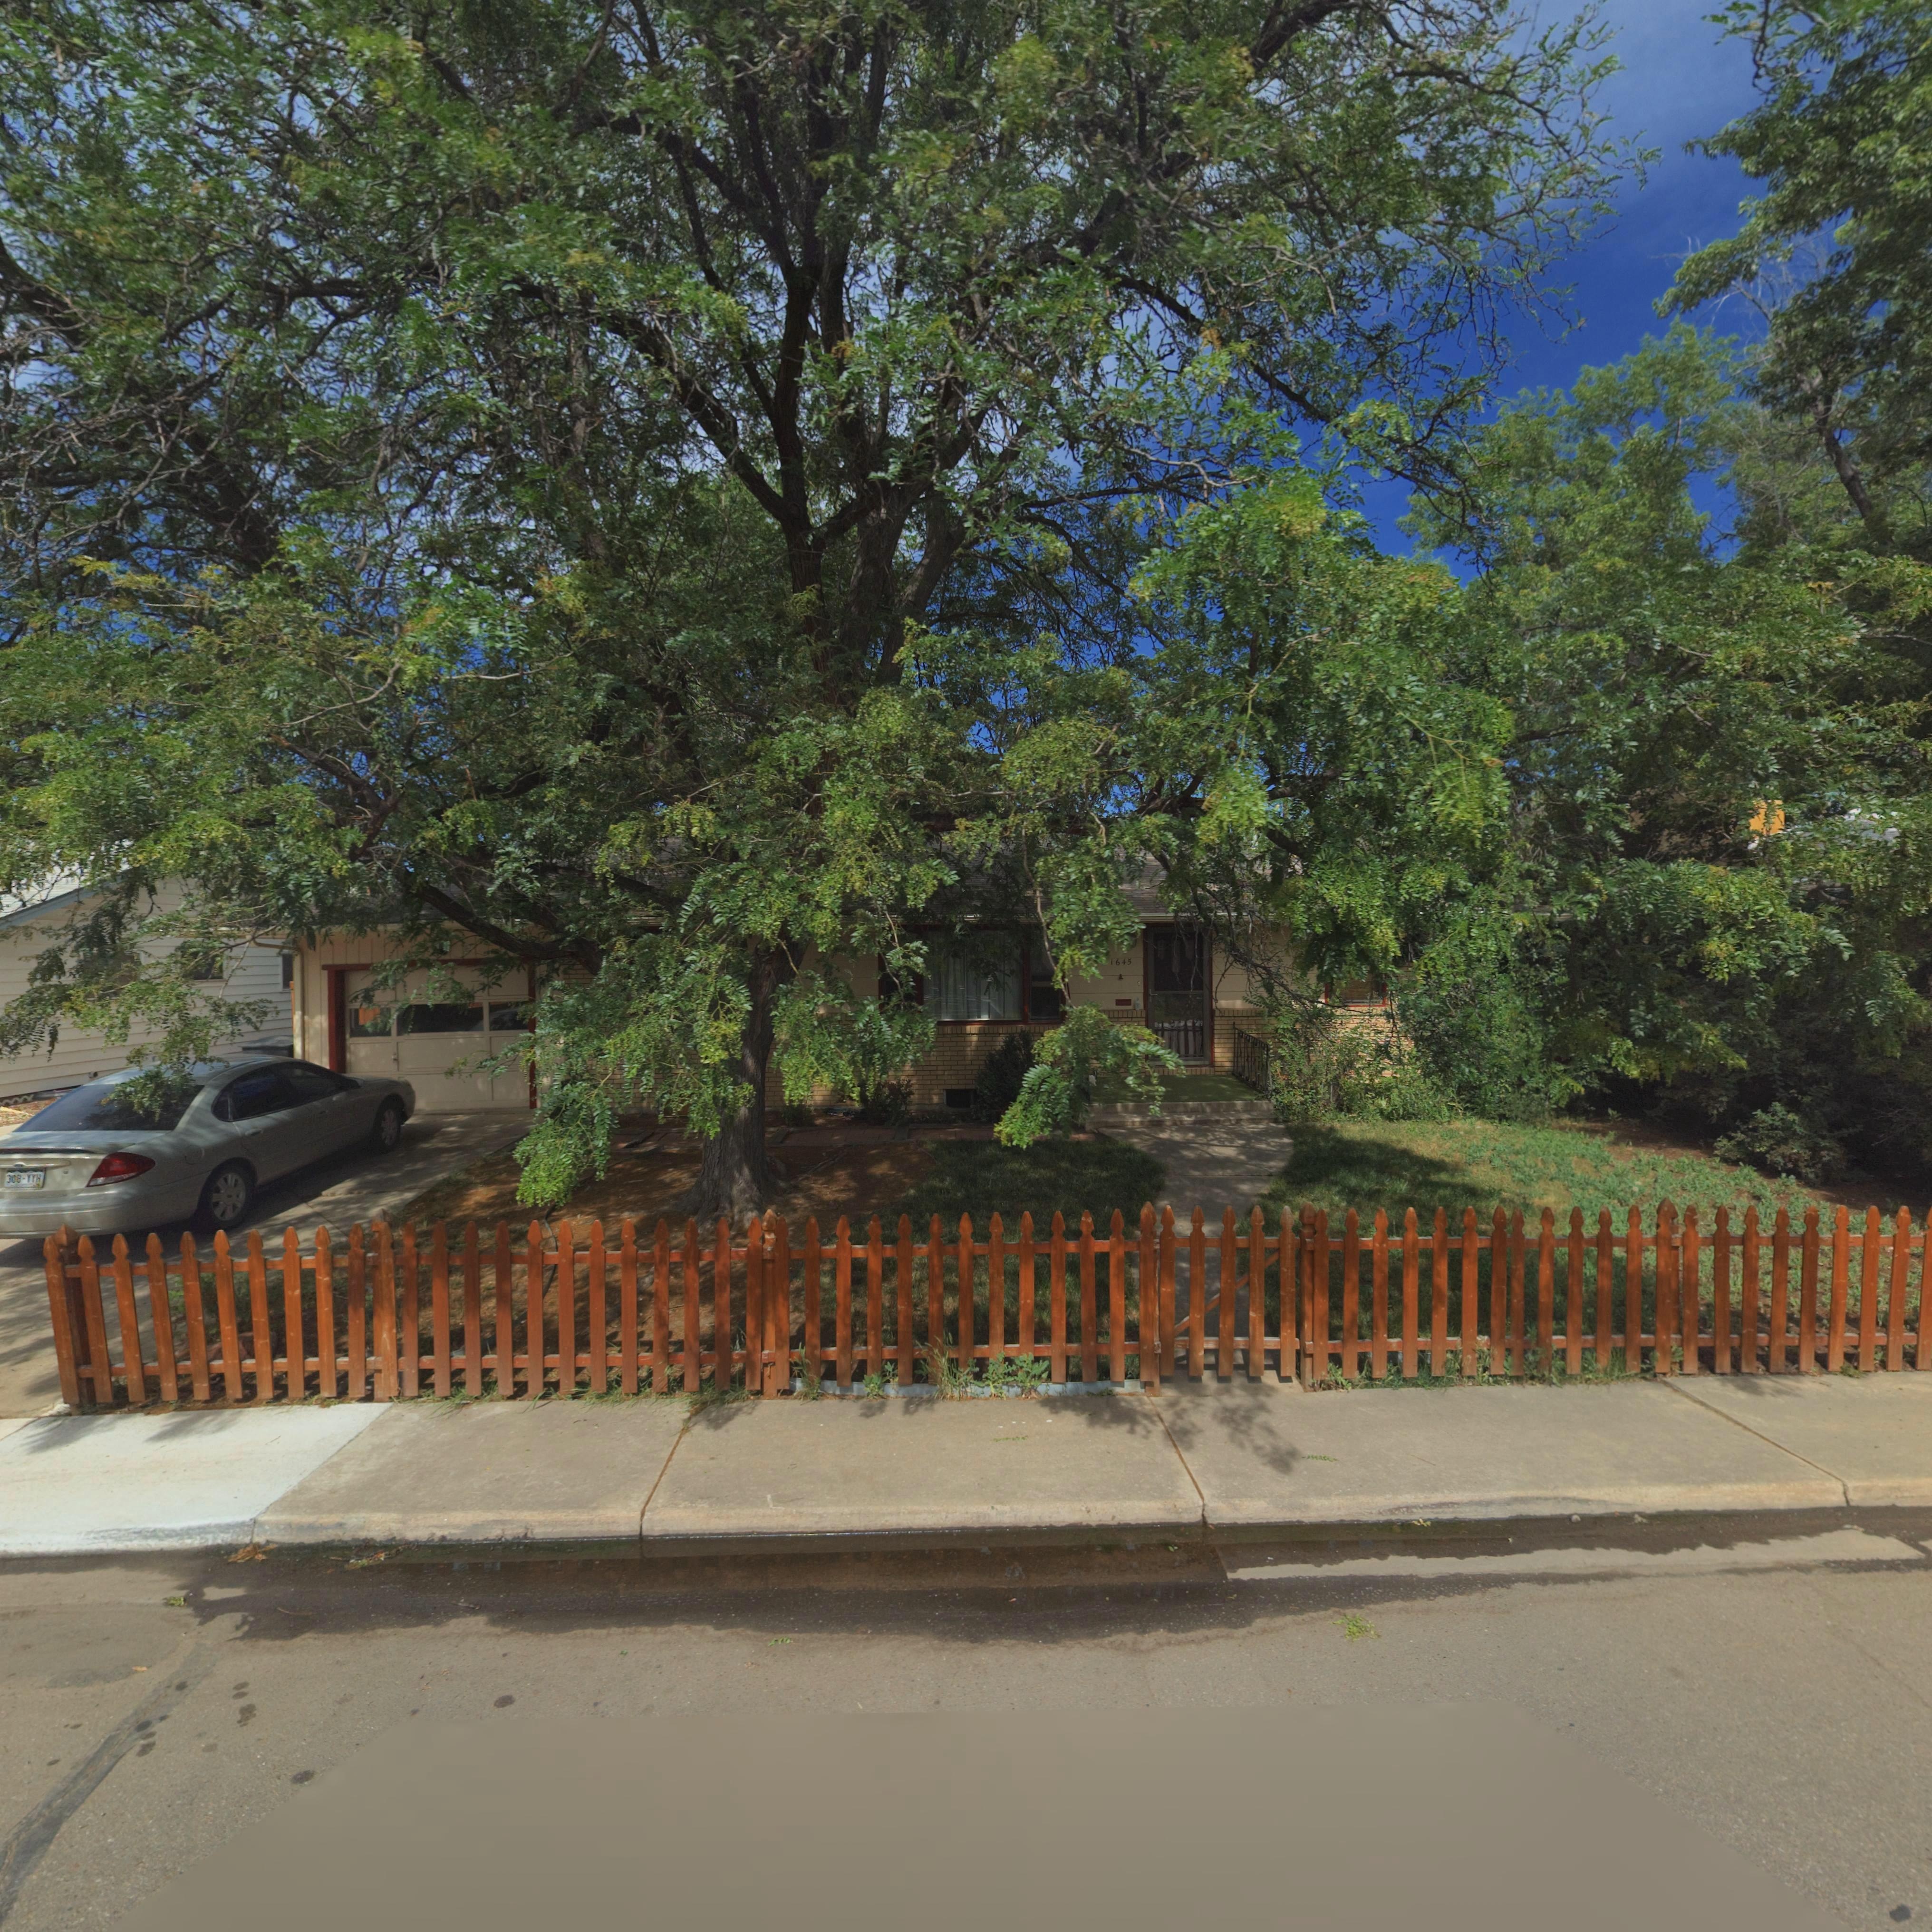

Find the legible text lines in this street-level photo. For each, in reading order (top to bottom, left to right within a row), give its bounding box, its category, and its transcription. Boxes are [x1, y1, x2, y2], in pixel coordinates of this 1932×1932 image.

[1110, 957, 1131, 966] StreetNumber: 1645